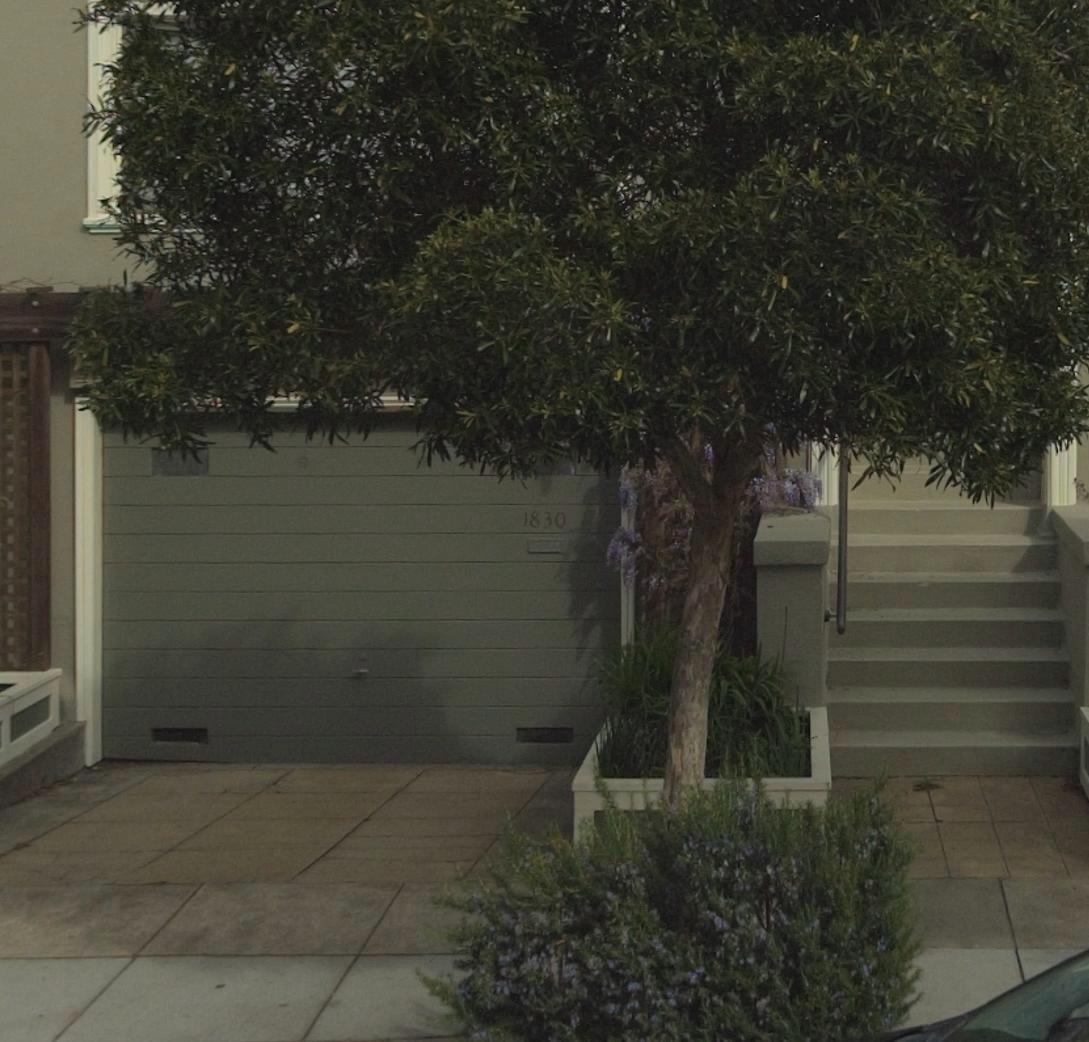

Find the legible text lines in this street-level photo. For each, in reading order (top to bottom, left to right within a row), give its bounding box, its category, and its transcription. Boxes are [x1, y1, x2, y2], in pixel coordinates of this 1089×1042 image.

[523, 509, 567, 530] StreetNumber: 1830